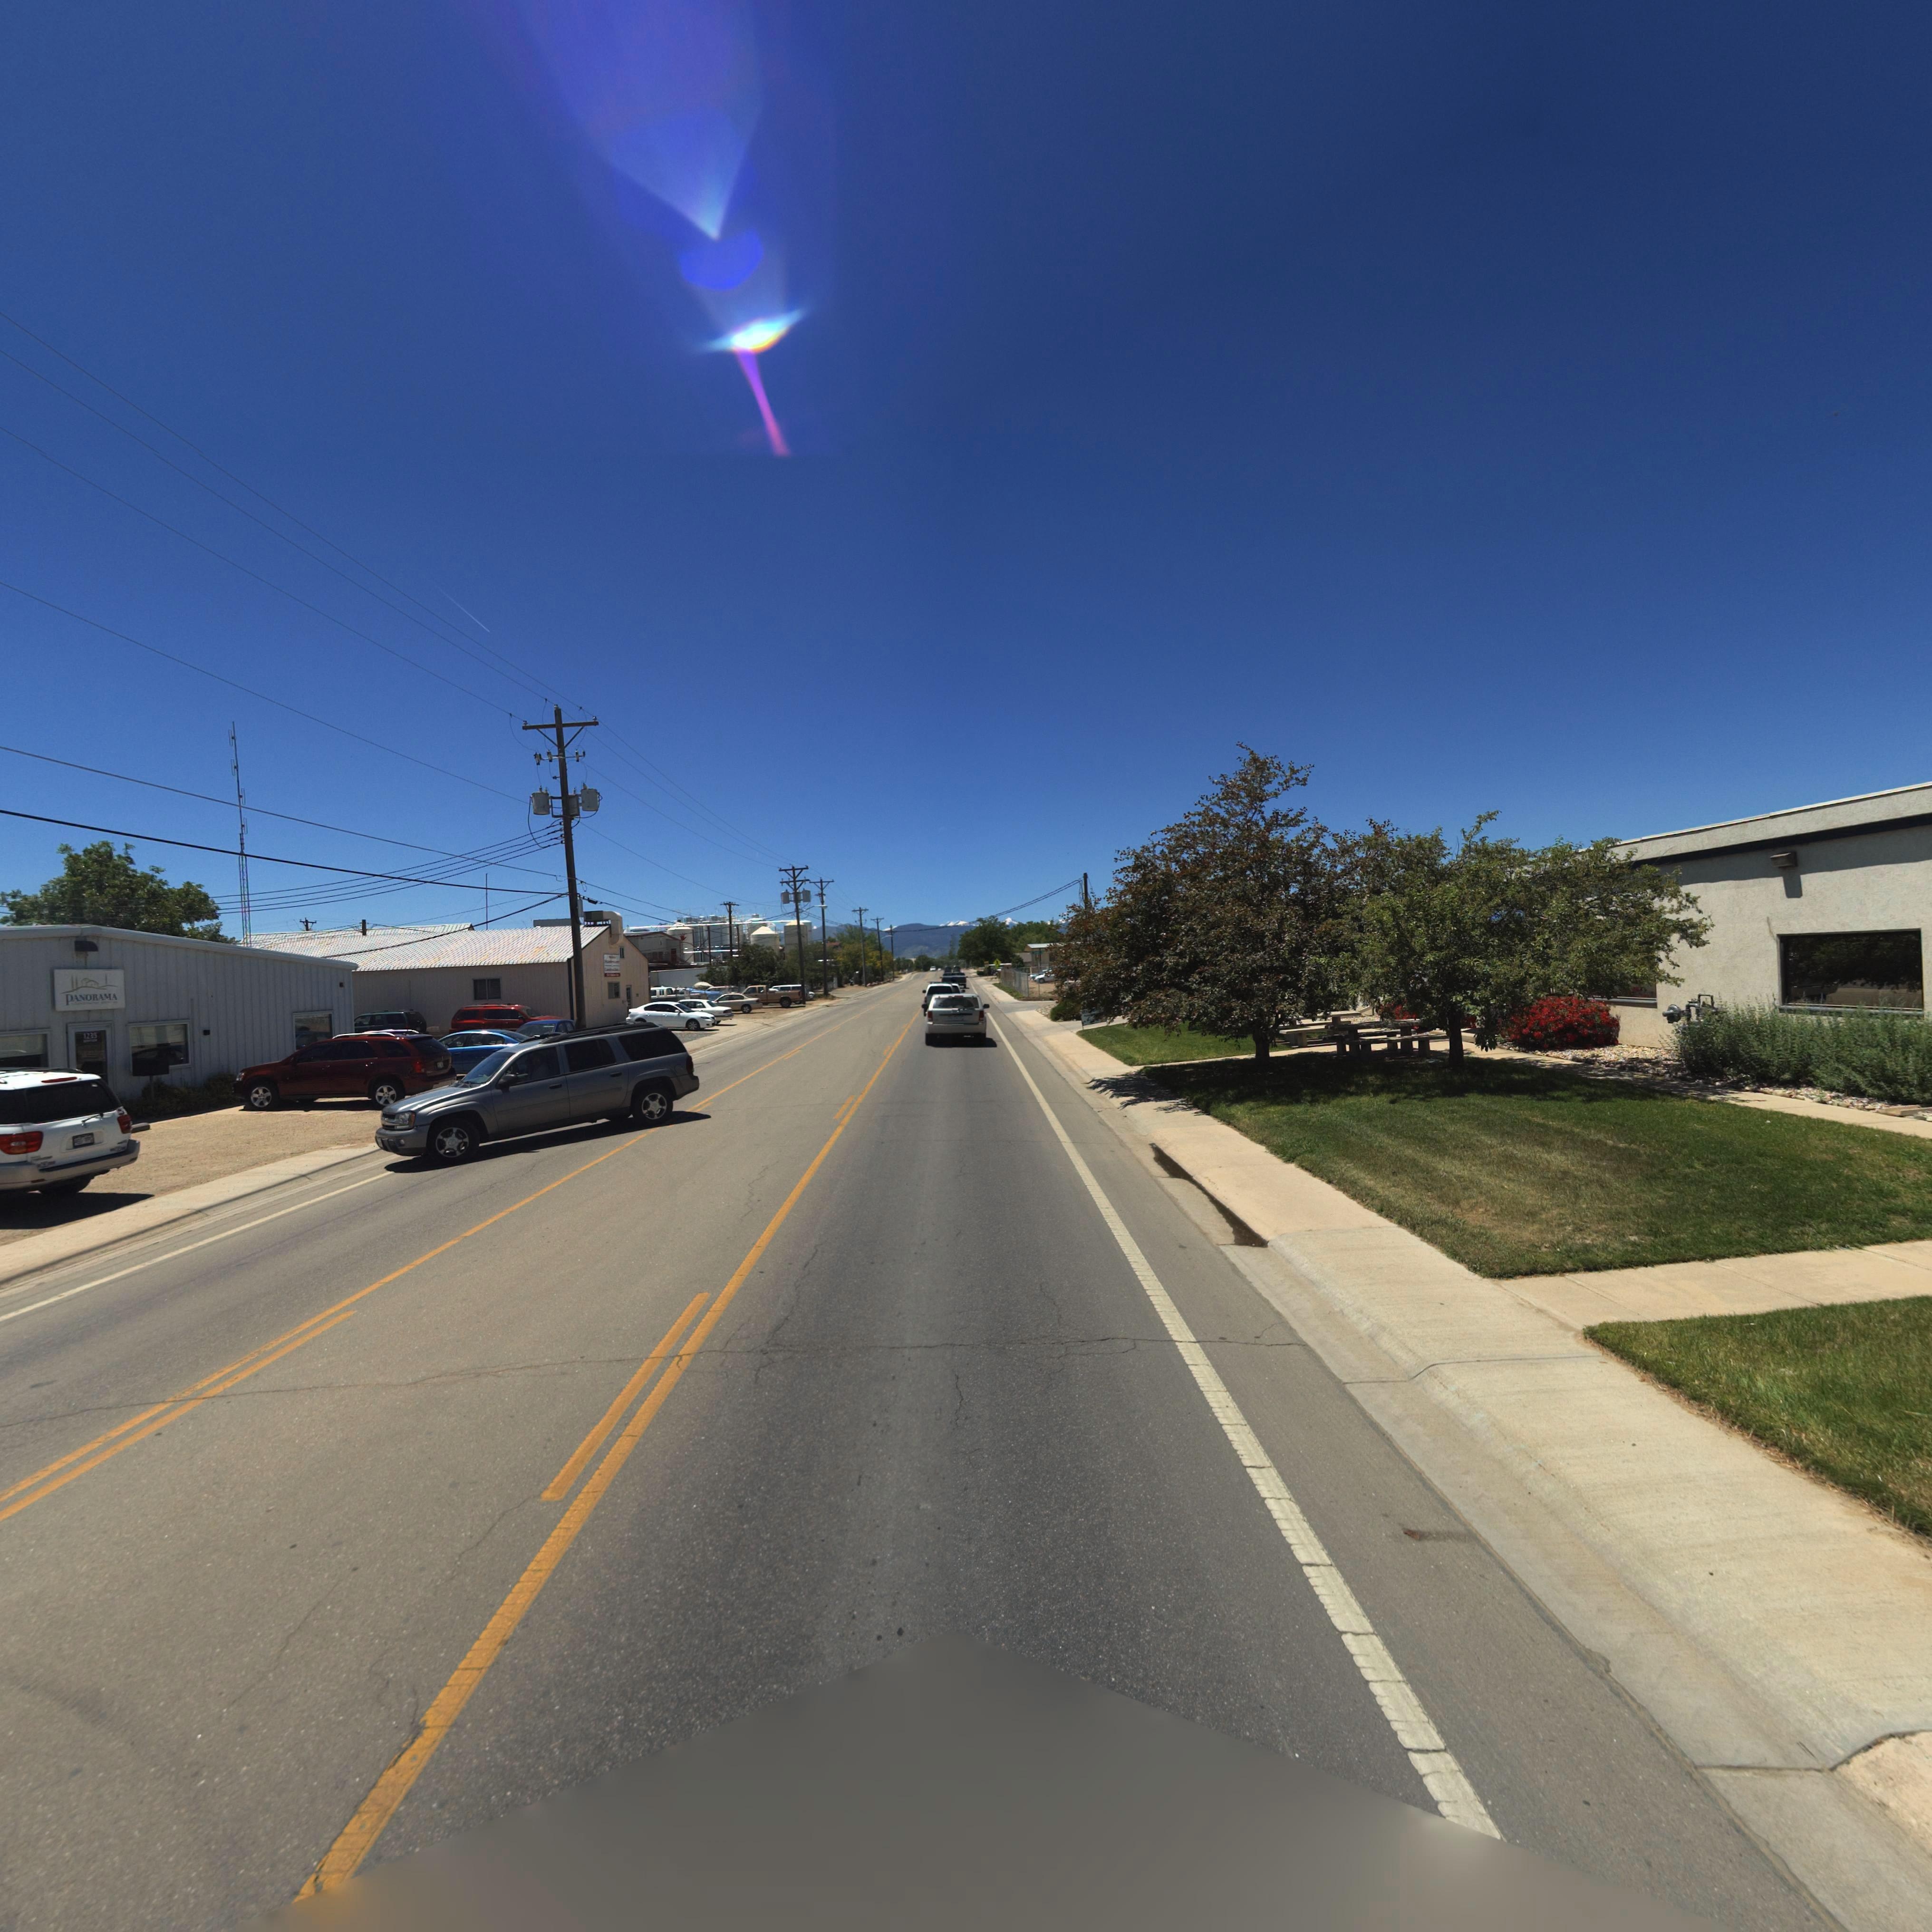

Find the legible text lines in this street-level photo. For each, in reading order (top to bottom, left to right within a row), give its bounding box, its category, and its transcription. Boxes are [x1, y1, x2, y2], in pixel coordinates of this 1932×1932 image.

[608, 955, 616, 958] BusinessName: M**i**
[604, 959, 619, 963] BusinessName: R
[604, 967, 618, 971] BusinessName: C***t**t***
[66, 993, 117, 1005] BusinessName: PANORAMA
[83, 1032, 97, 1038] StreetNumber: 1235
[84, 1039, 97, 1043] StreetName: *****N